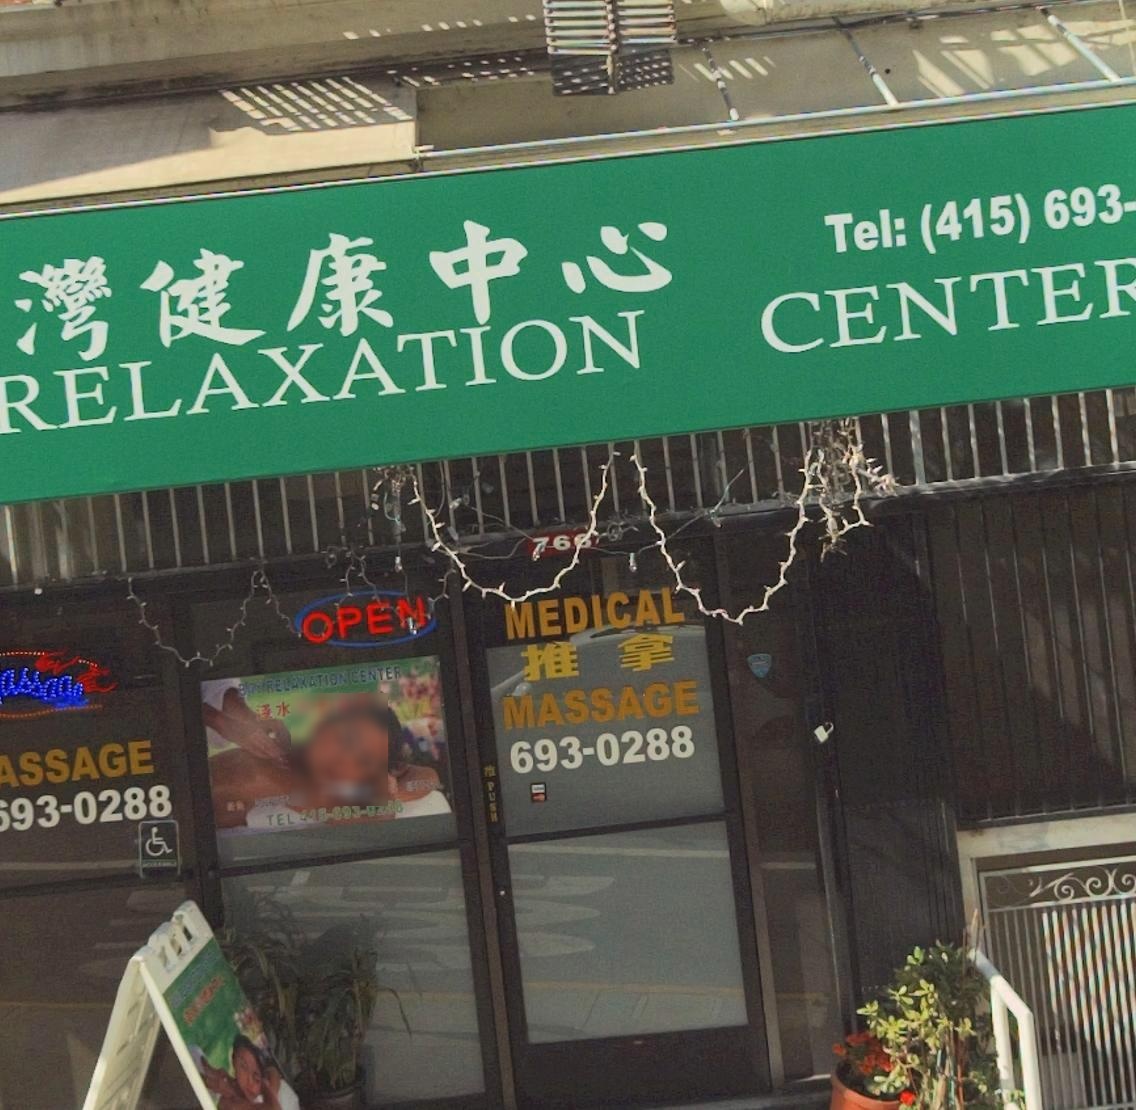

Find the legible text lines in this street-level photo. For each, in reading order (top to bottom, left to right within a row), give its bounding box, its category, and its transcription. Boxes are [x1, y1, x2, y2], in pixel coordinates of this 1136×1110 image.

[821, 181, 1126, 258] None: Tel: (415) 693
[757, 260, 1096, 356] BusinessName: CENTER
[0, 307, 647, 437] BusinessName: RELAXATION
[529, 529, 595, 554] StreetNumber: 76*
[300, 594, 429, 645] None: OPEN
[501, 584, 687, 644] None: MEDICAL
[264, 662, 404, 695] None: RELAXATION CENTER
[499, 677, 702, 734] None: MASSAGE
[16, 738, 155, 788] None: SSAGE
[506, 722, 698, 777] None: 693-0288
[8, 782, 174, 834] None: 93-0288
[263, 797, 404, 829] None: TEL 4**-693-0258
[485, 779, 500, 825] None: PUSH